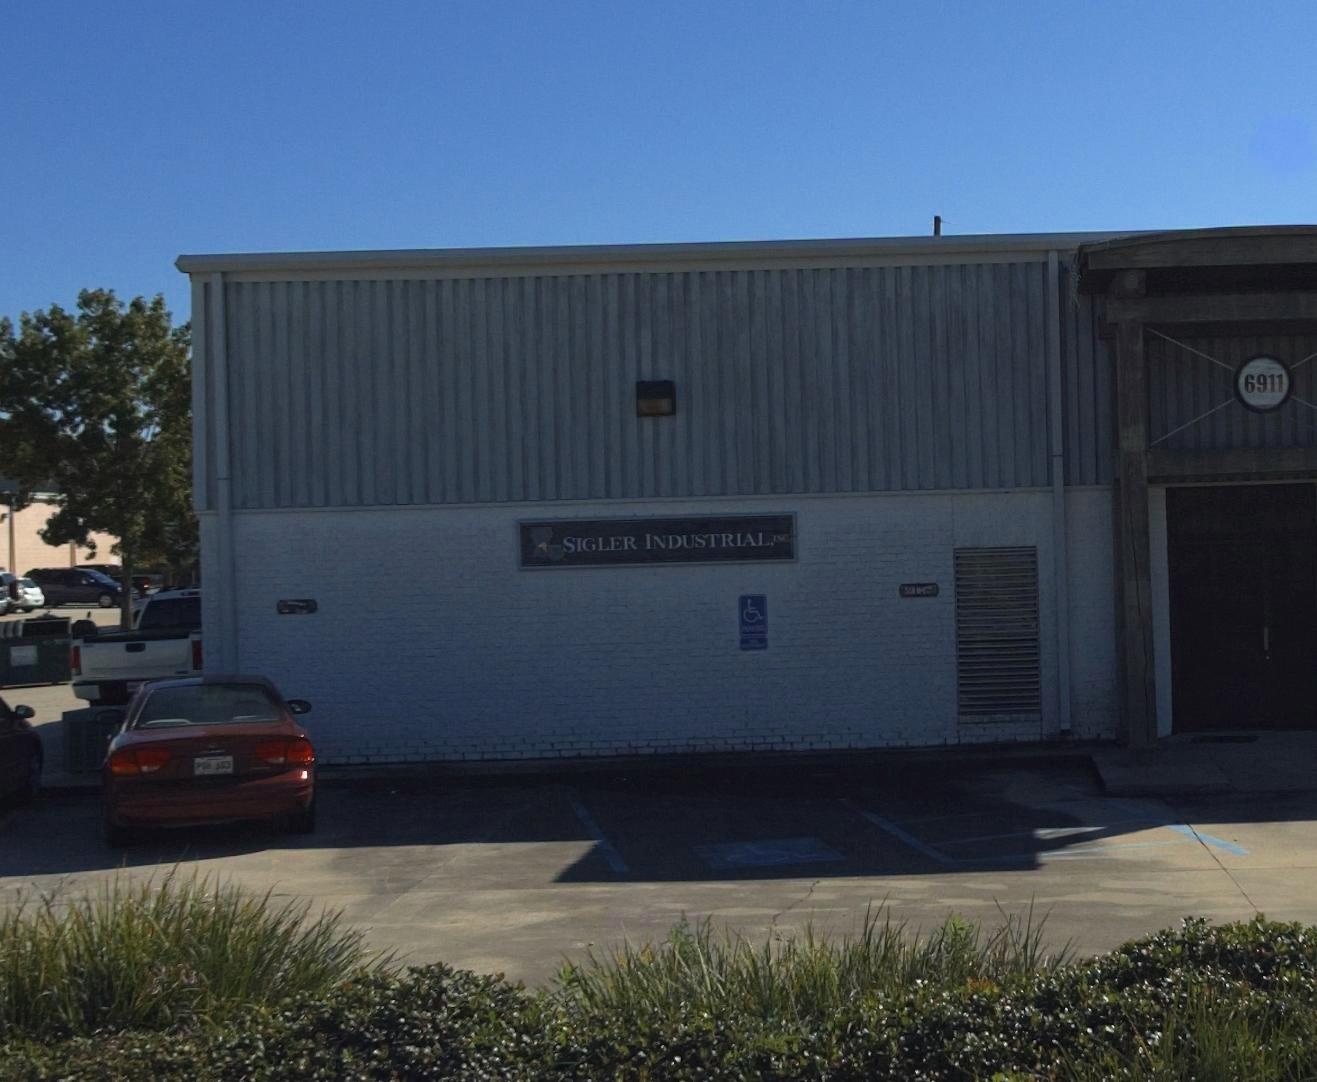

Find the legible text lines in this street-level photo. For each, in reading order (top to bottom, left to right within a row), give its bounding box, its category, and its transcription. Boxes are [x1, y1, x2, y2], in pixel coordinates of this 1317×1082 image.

[1241, 371, 1288, 396] BusinessName: 6911
[560, 529, 772, 556] BusinessName: Sigler Industrial